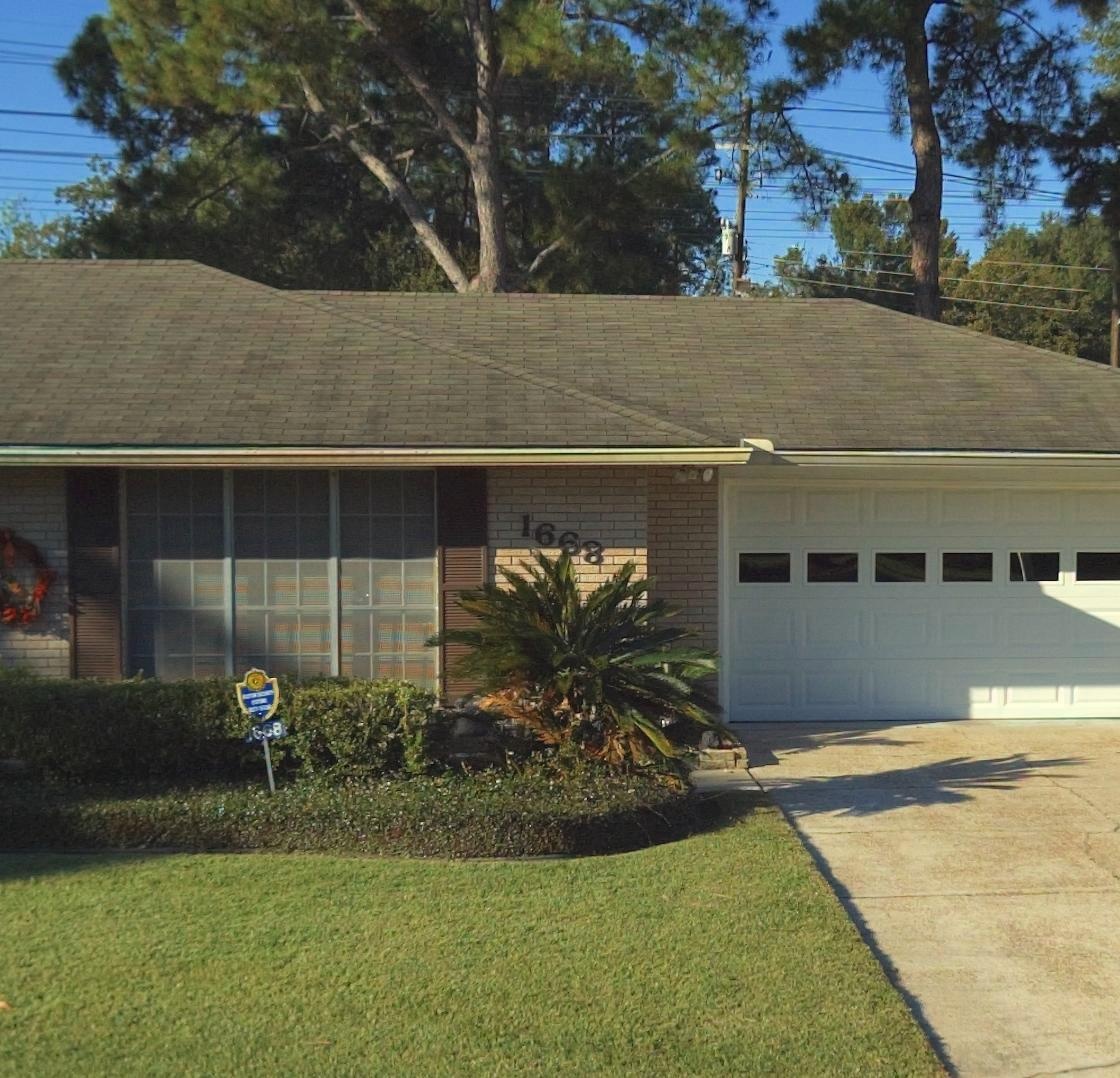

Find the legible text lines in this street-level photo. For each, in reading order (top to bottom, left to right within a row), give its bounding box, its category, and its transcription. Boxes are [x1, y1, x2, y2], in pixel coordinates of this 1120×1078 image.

[520, 513, 604, 566] StreetNumber: 1668
[243, 718, 285, 745] StreetNumber: 1668